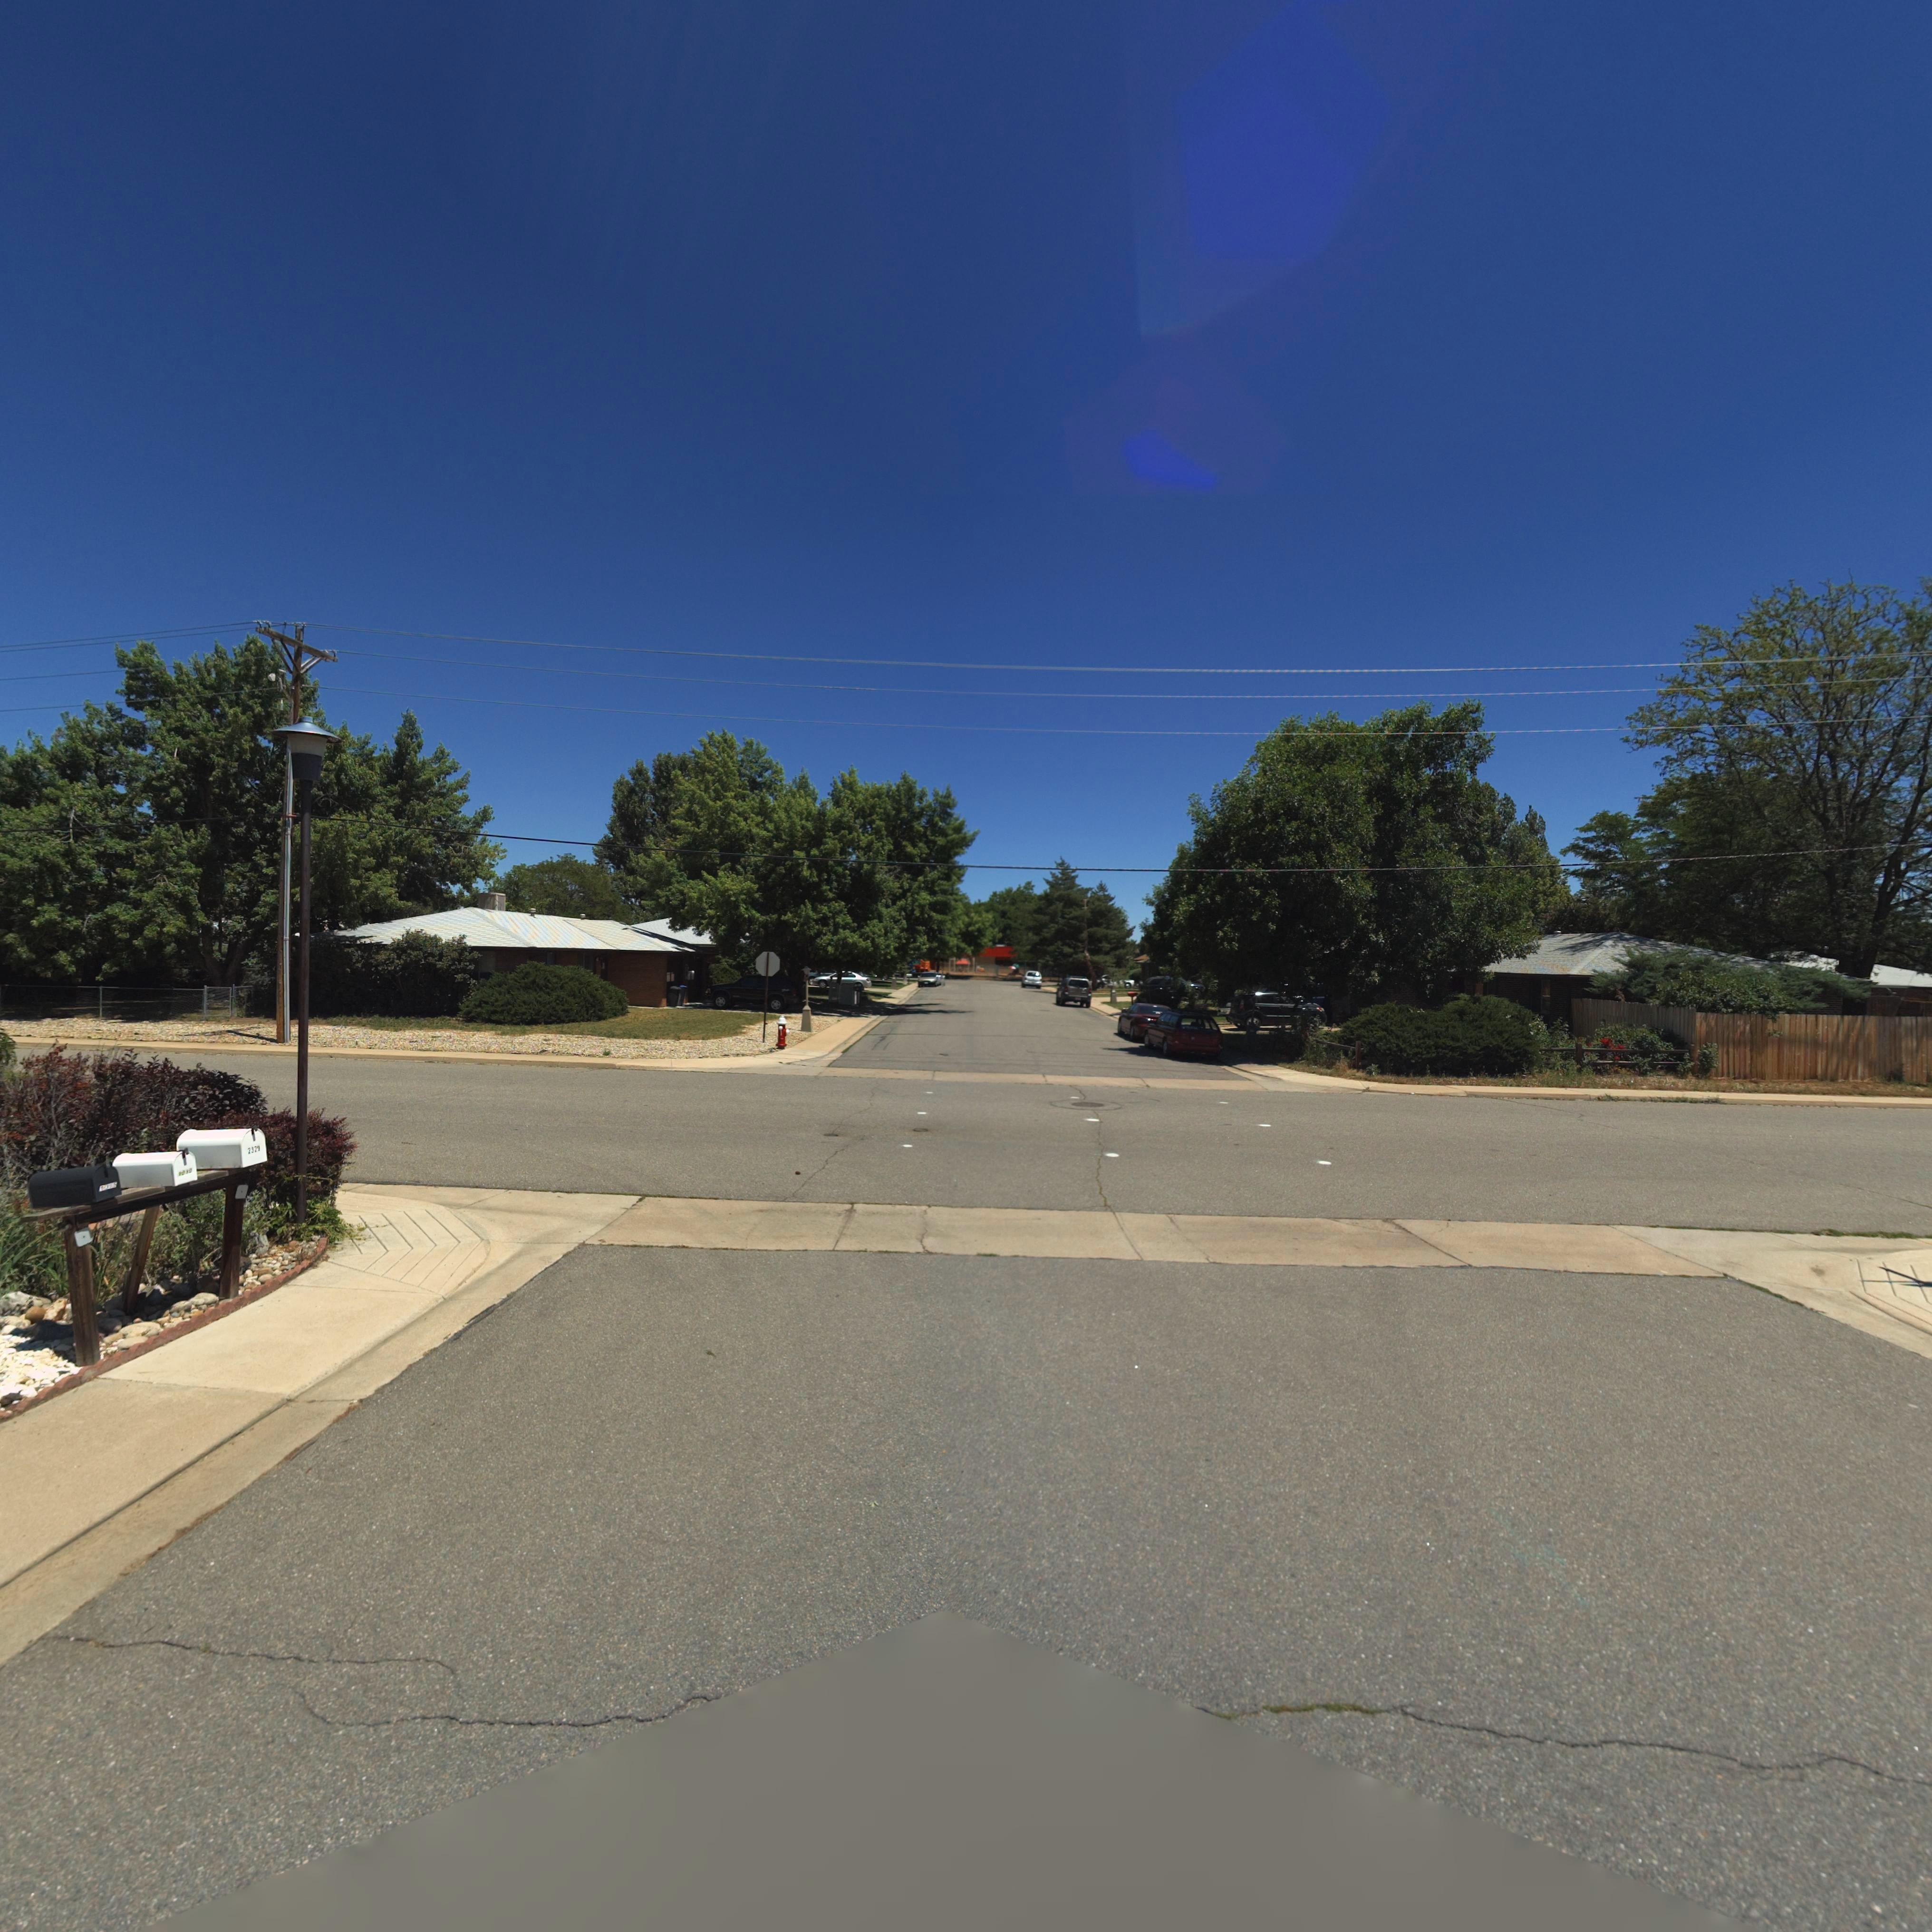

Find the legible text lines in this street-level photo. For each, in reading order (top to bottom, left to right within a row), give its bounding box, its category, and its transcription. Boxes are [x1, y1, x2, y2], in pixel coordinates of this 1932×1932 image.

[247, 1144, 260, 1155] StreetNumber: 2329
[178, 1167, 193, 1176] StreetNumber: 1010
[100, 1181, 116, 1191] StreetNumber: 1***